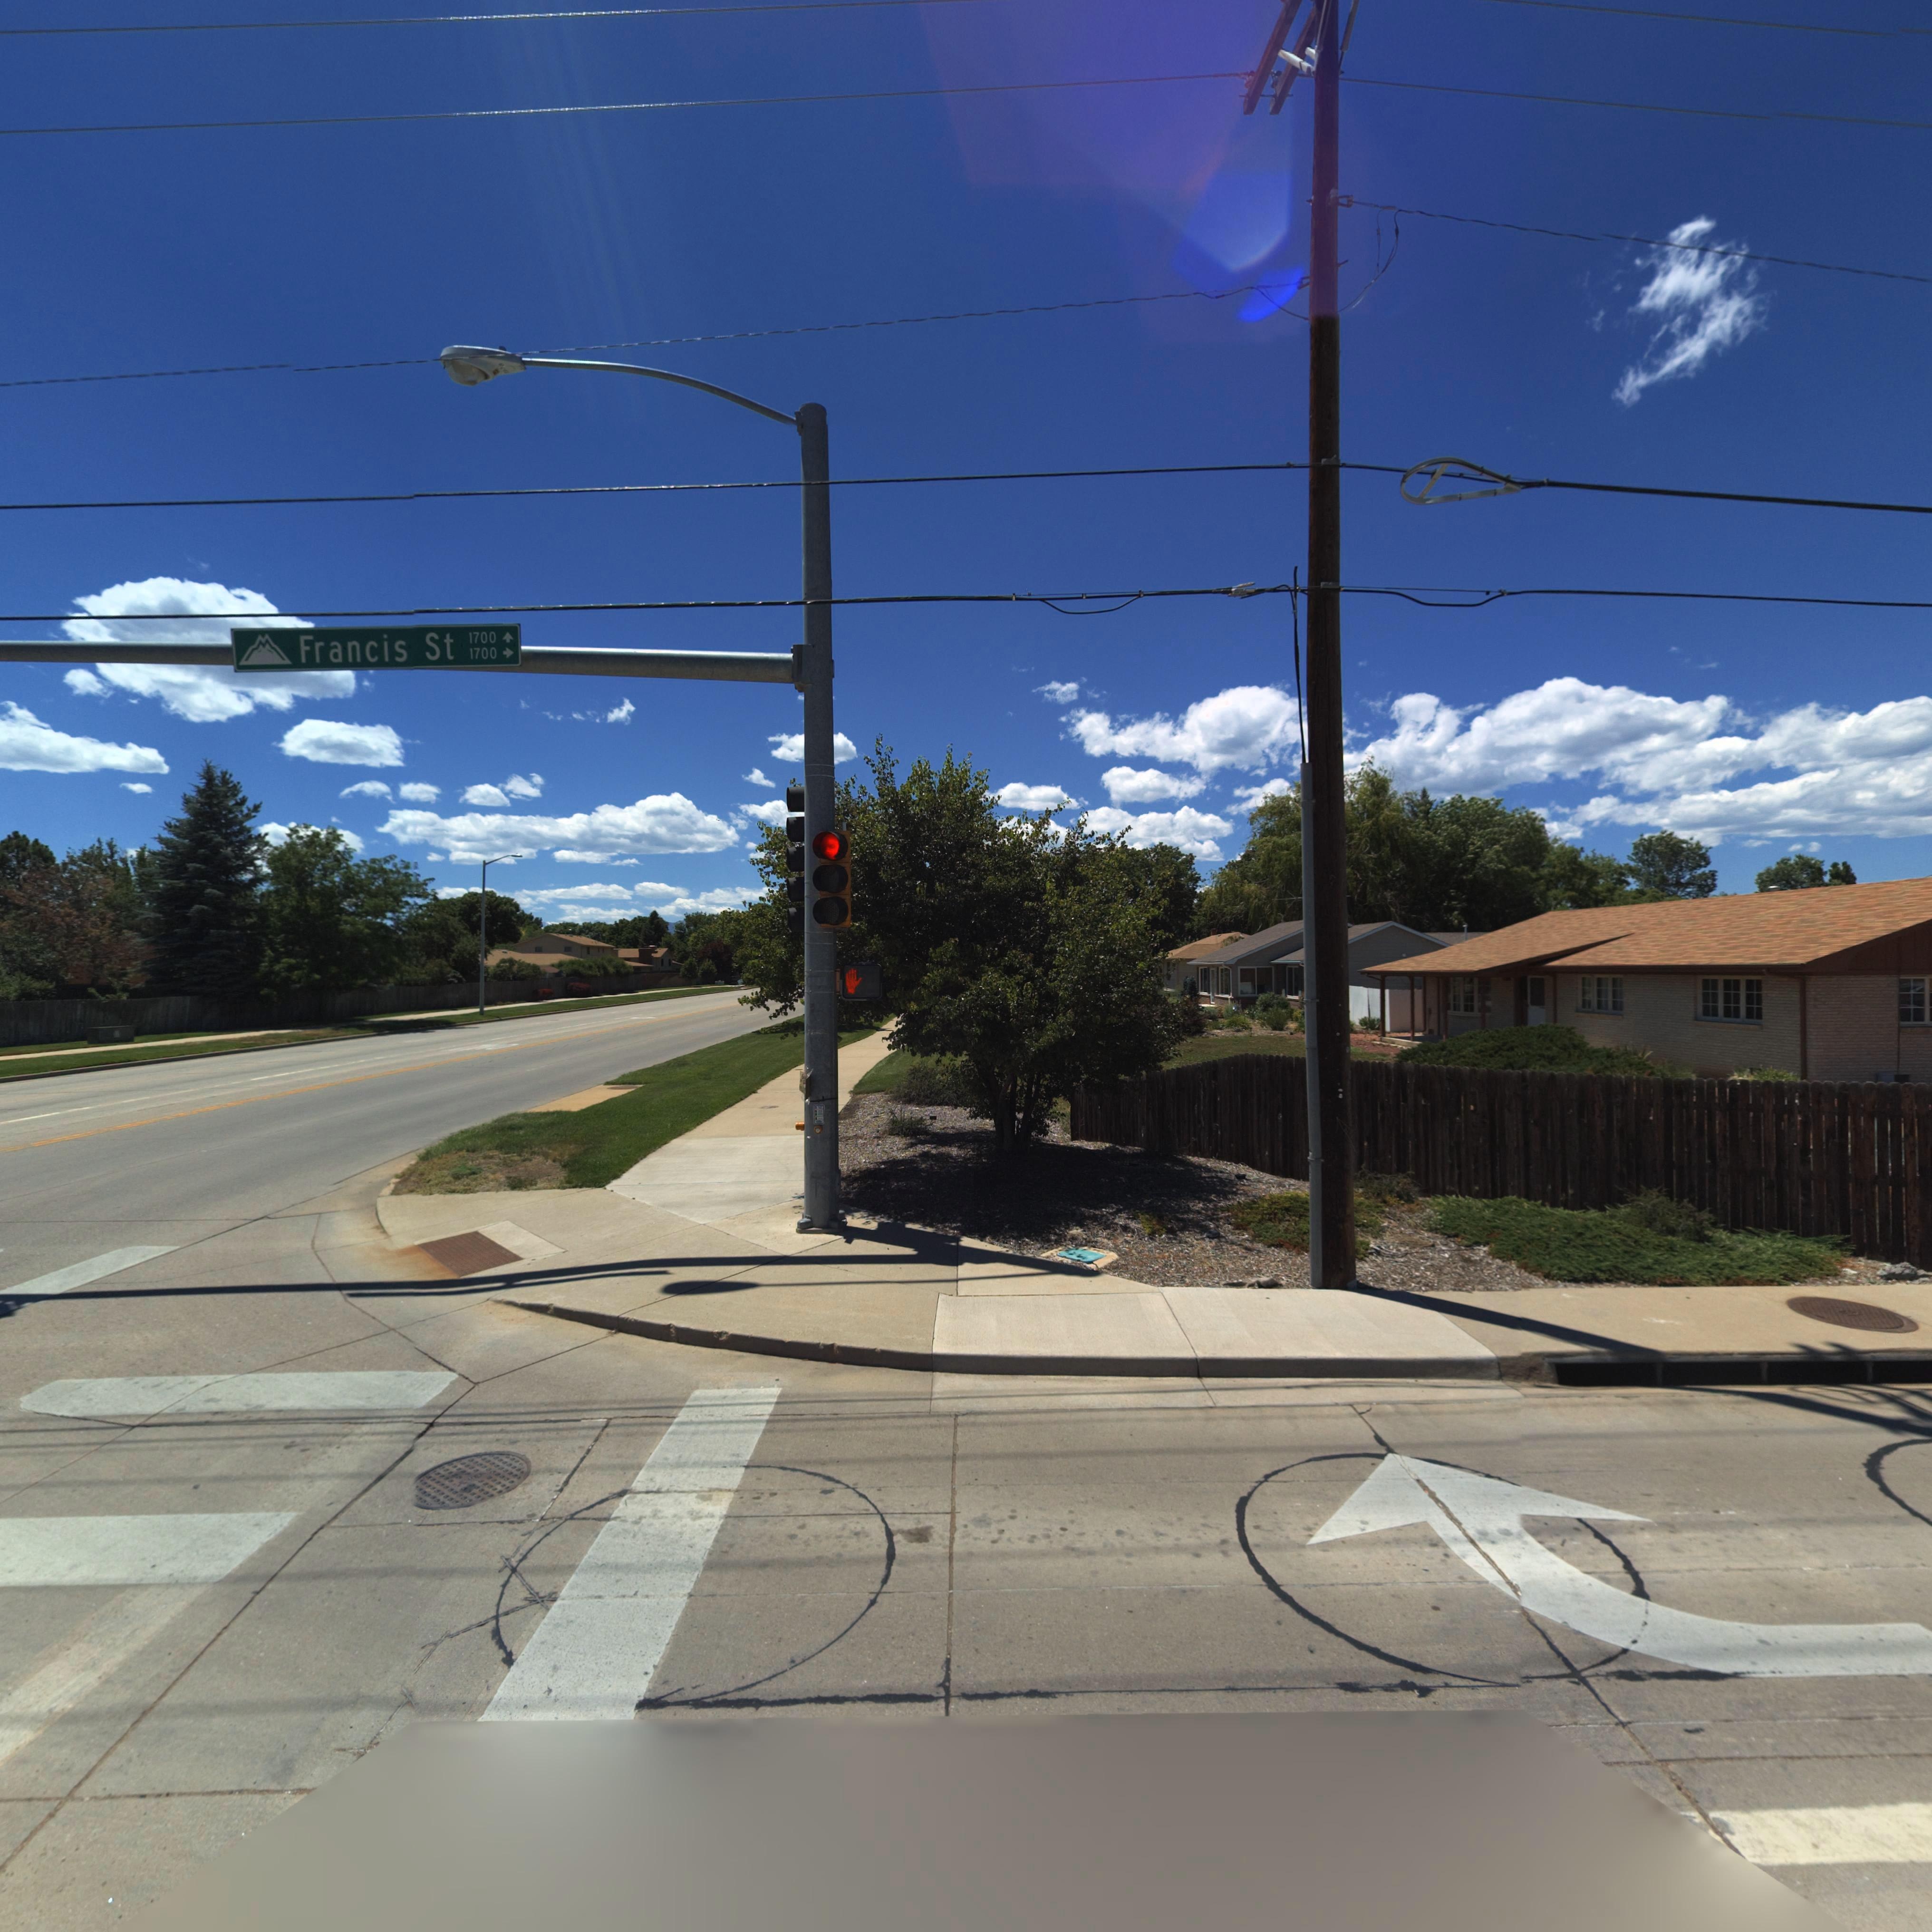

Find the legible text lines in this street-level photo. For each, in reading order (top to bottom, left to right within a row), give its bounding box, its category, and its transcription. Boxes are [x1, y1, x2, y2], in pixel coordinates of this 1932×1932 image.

[468, 631, 497, 644] StreetNumberRange: 1700
[298, 631, 455, 664] StreetName: Francis St
[469, 647, 515, 660] StreetNumberRange: 1700 ->